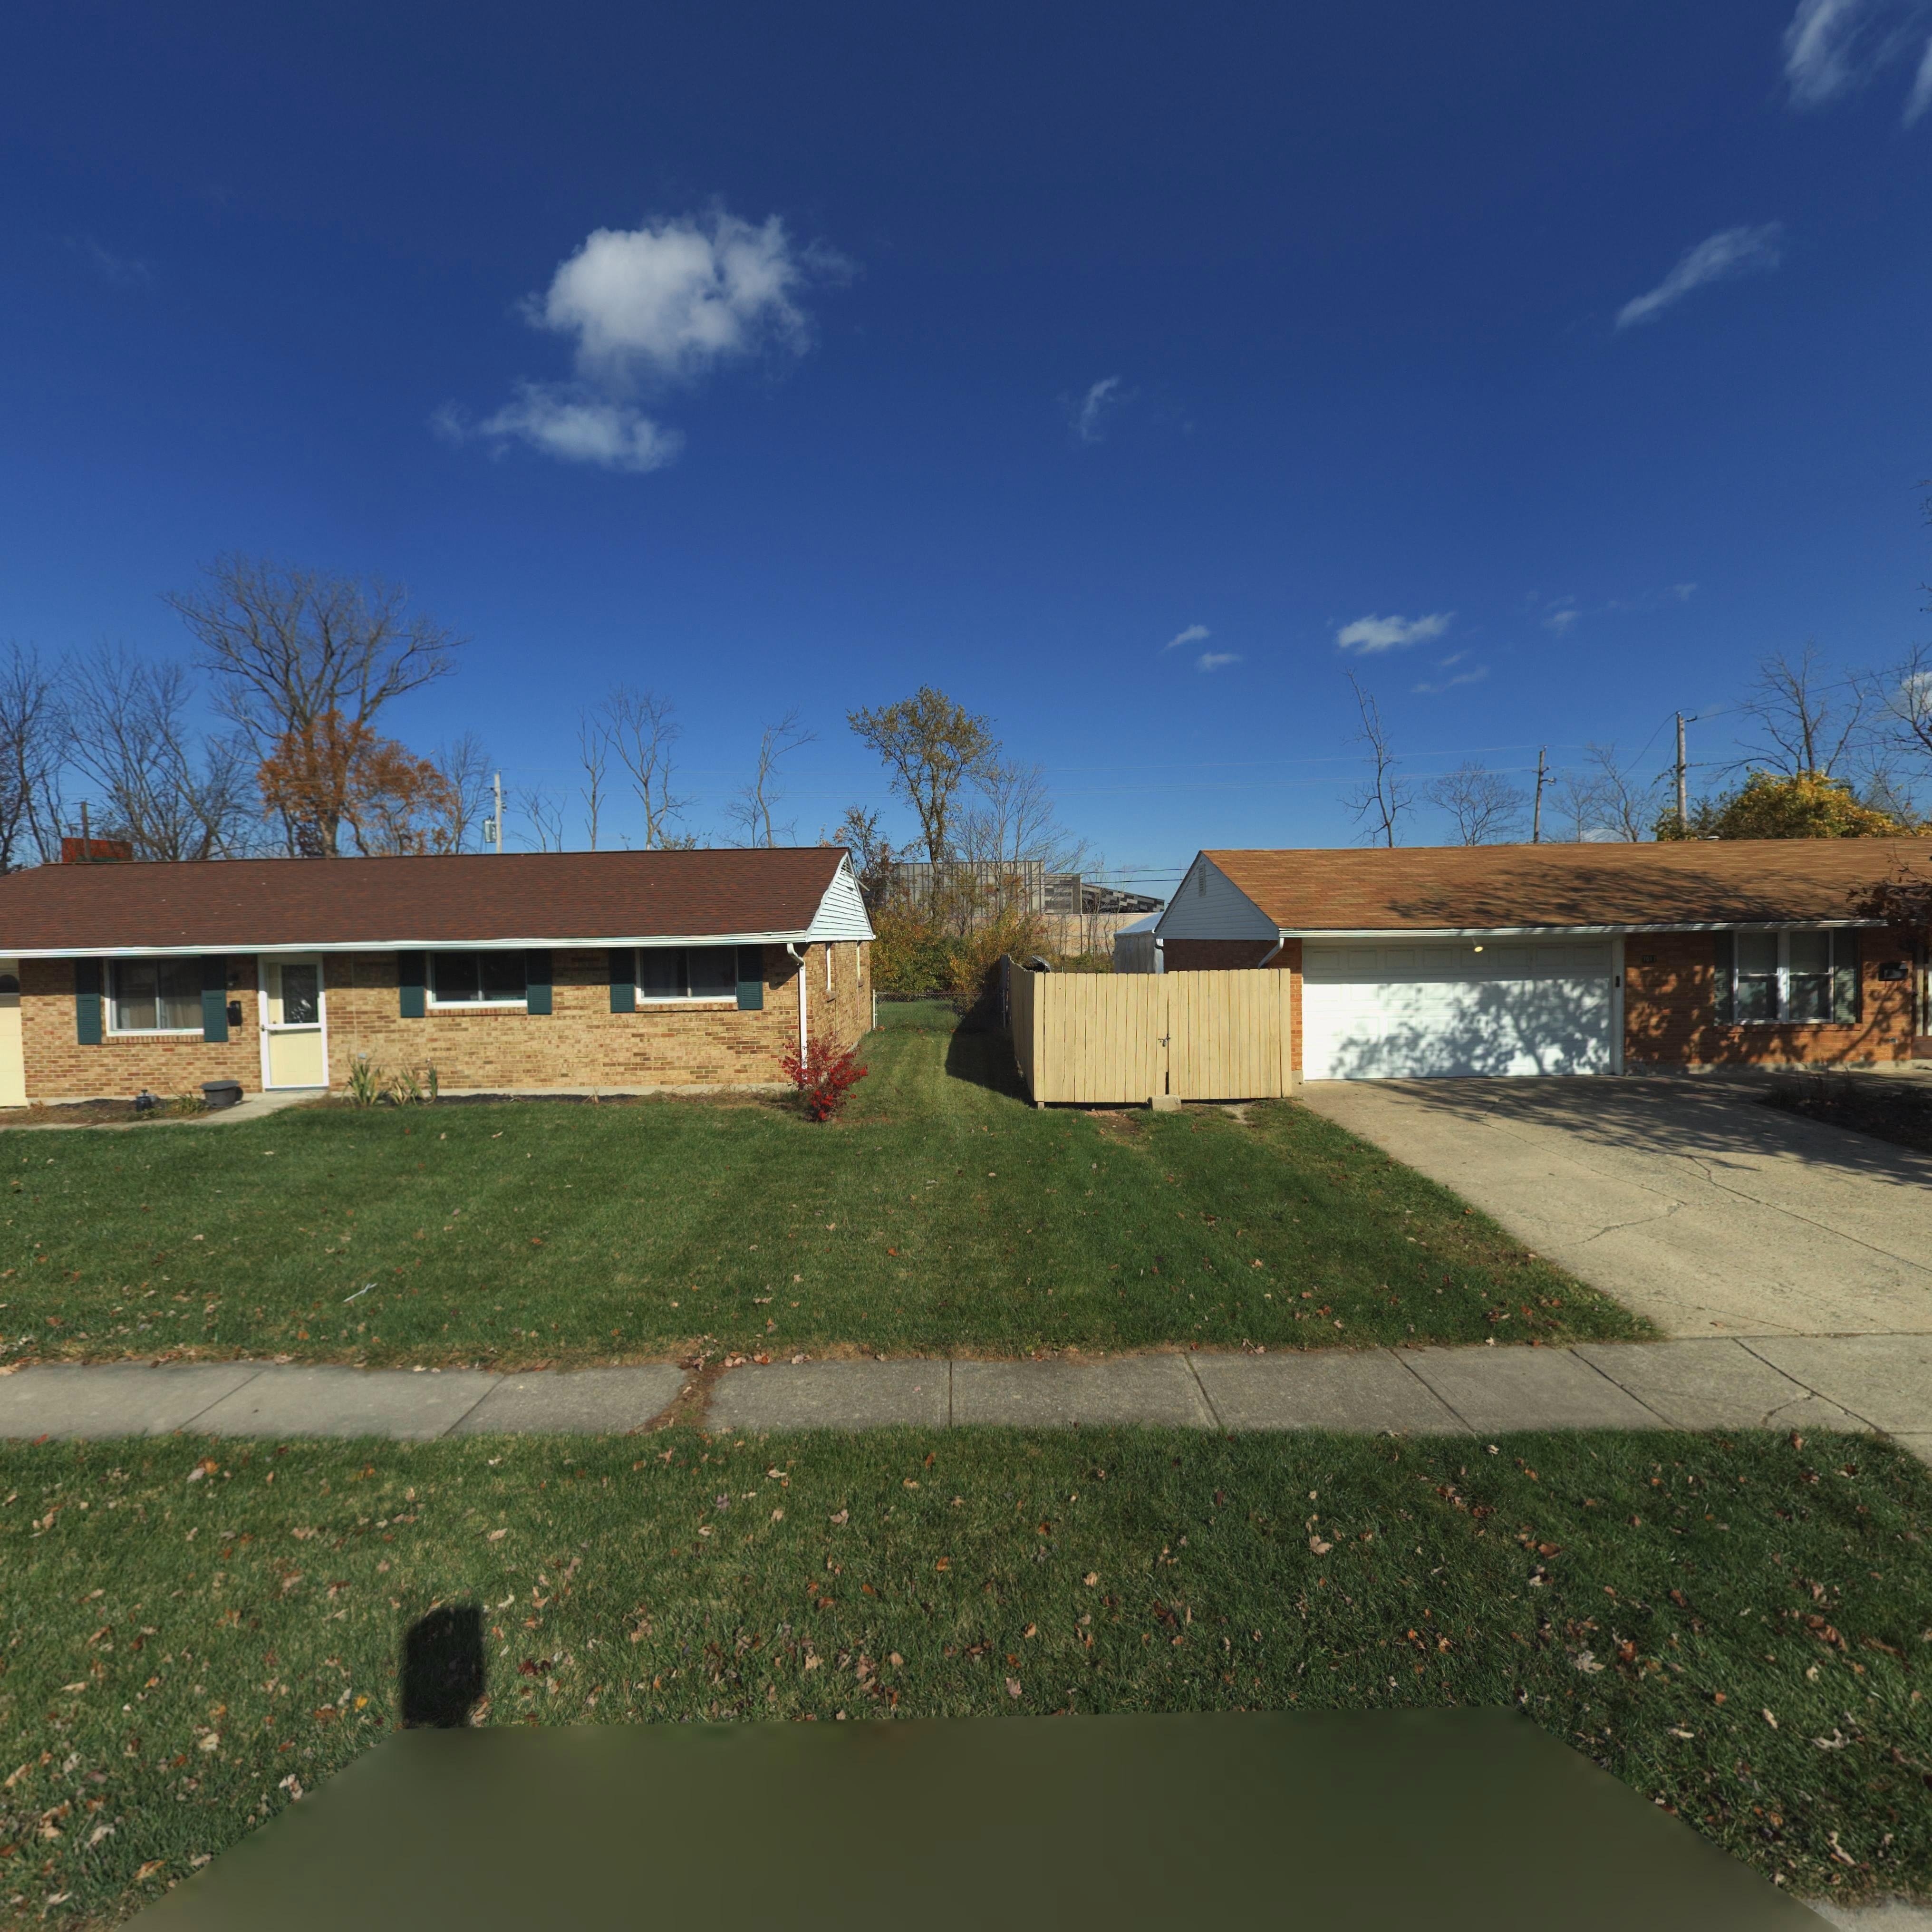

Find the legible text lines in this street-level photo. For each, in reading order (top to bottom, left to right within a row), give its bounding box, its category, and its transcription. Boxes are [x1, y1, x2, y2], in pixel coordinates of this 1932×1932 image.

[1642, 955, 1657, 963] StreetNumber: 7011